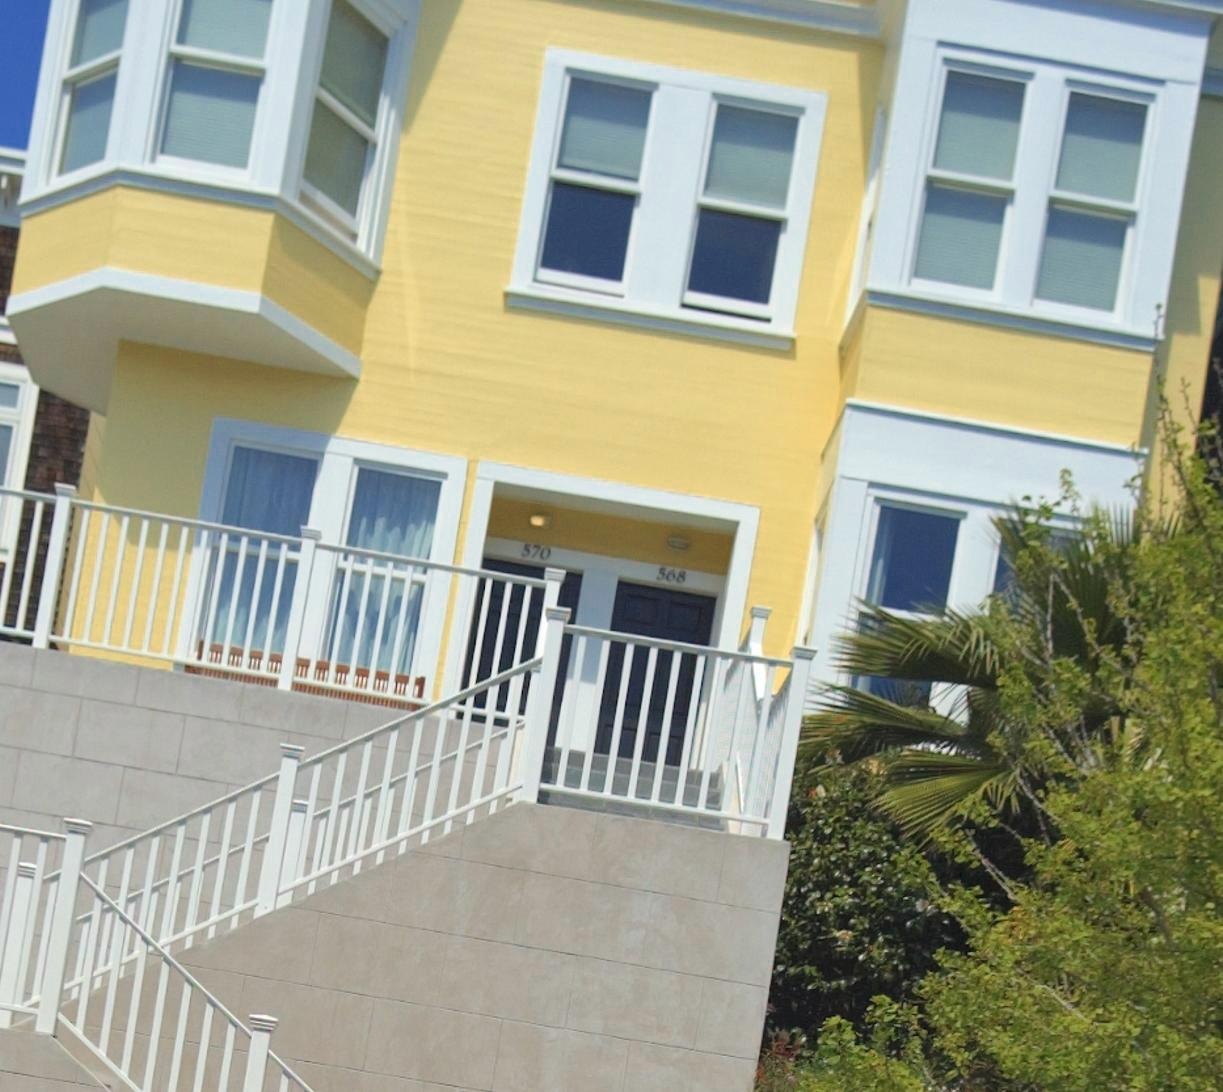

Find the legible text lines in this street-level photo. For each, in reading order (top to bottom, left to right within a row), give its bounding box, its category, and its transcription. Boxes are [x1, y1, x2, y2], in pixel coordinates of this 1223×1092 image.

[519, 542, 553, 563] StreetNumber: 570
[654, 566, 688, 584] StreetNumber: 568